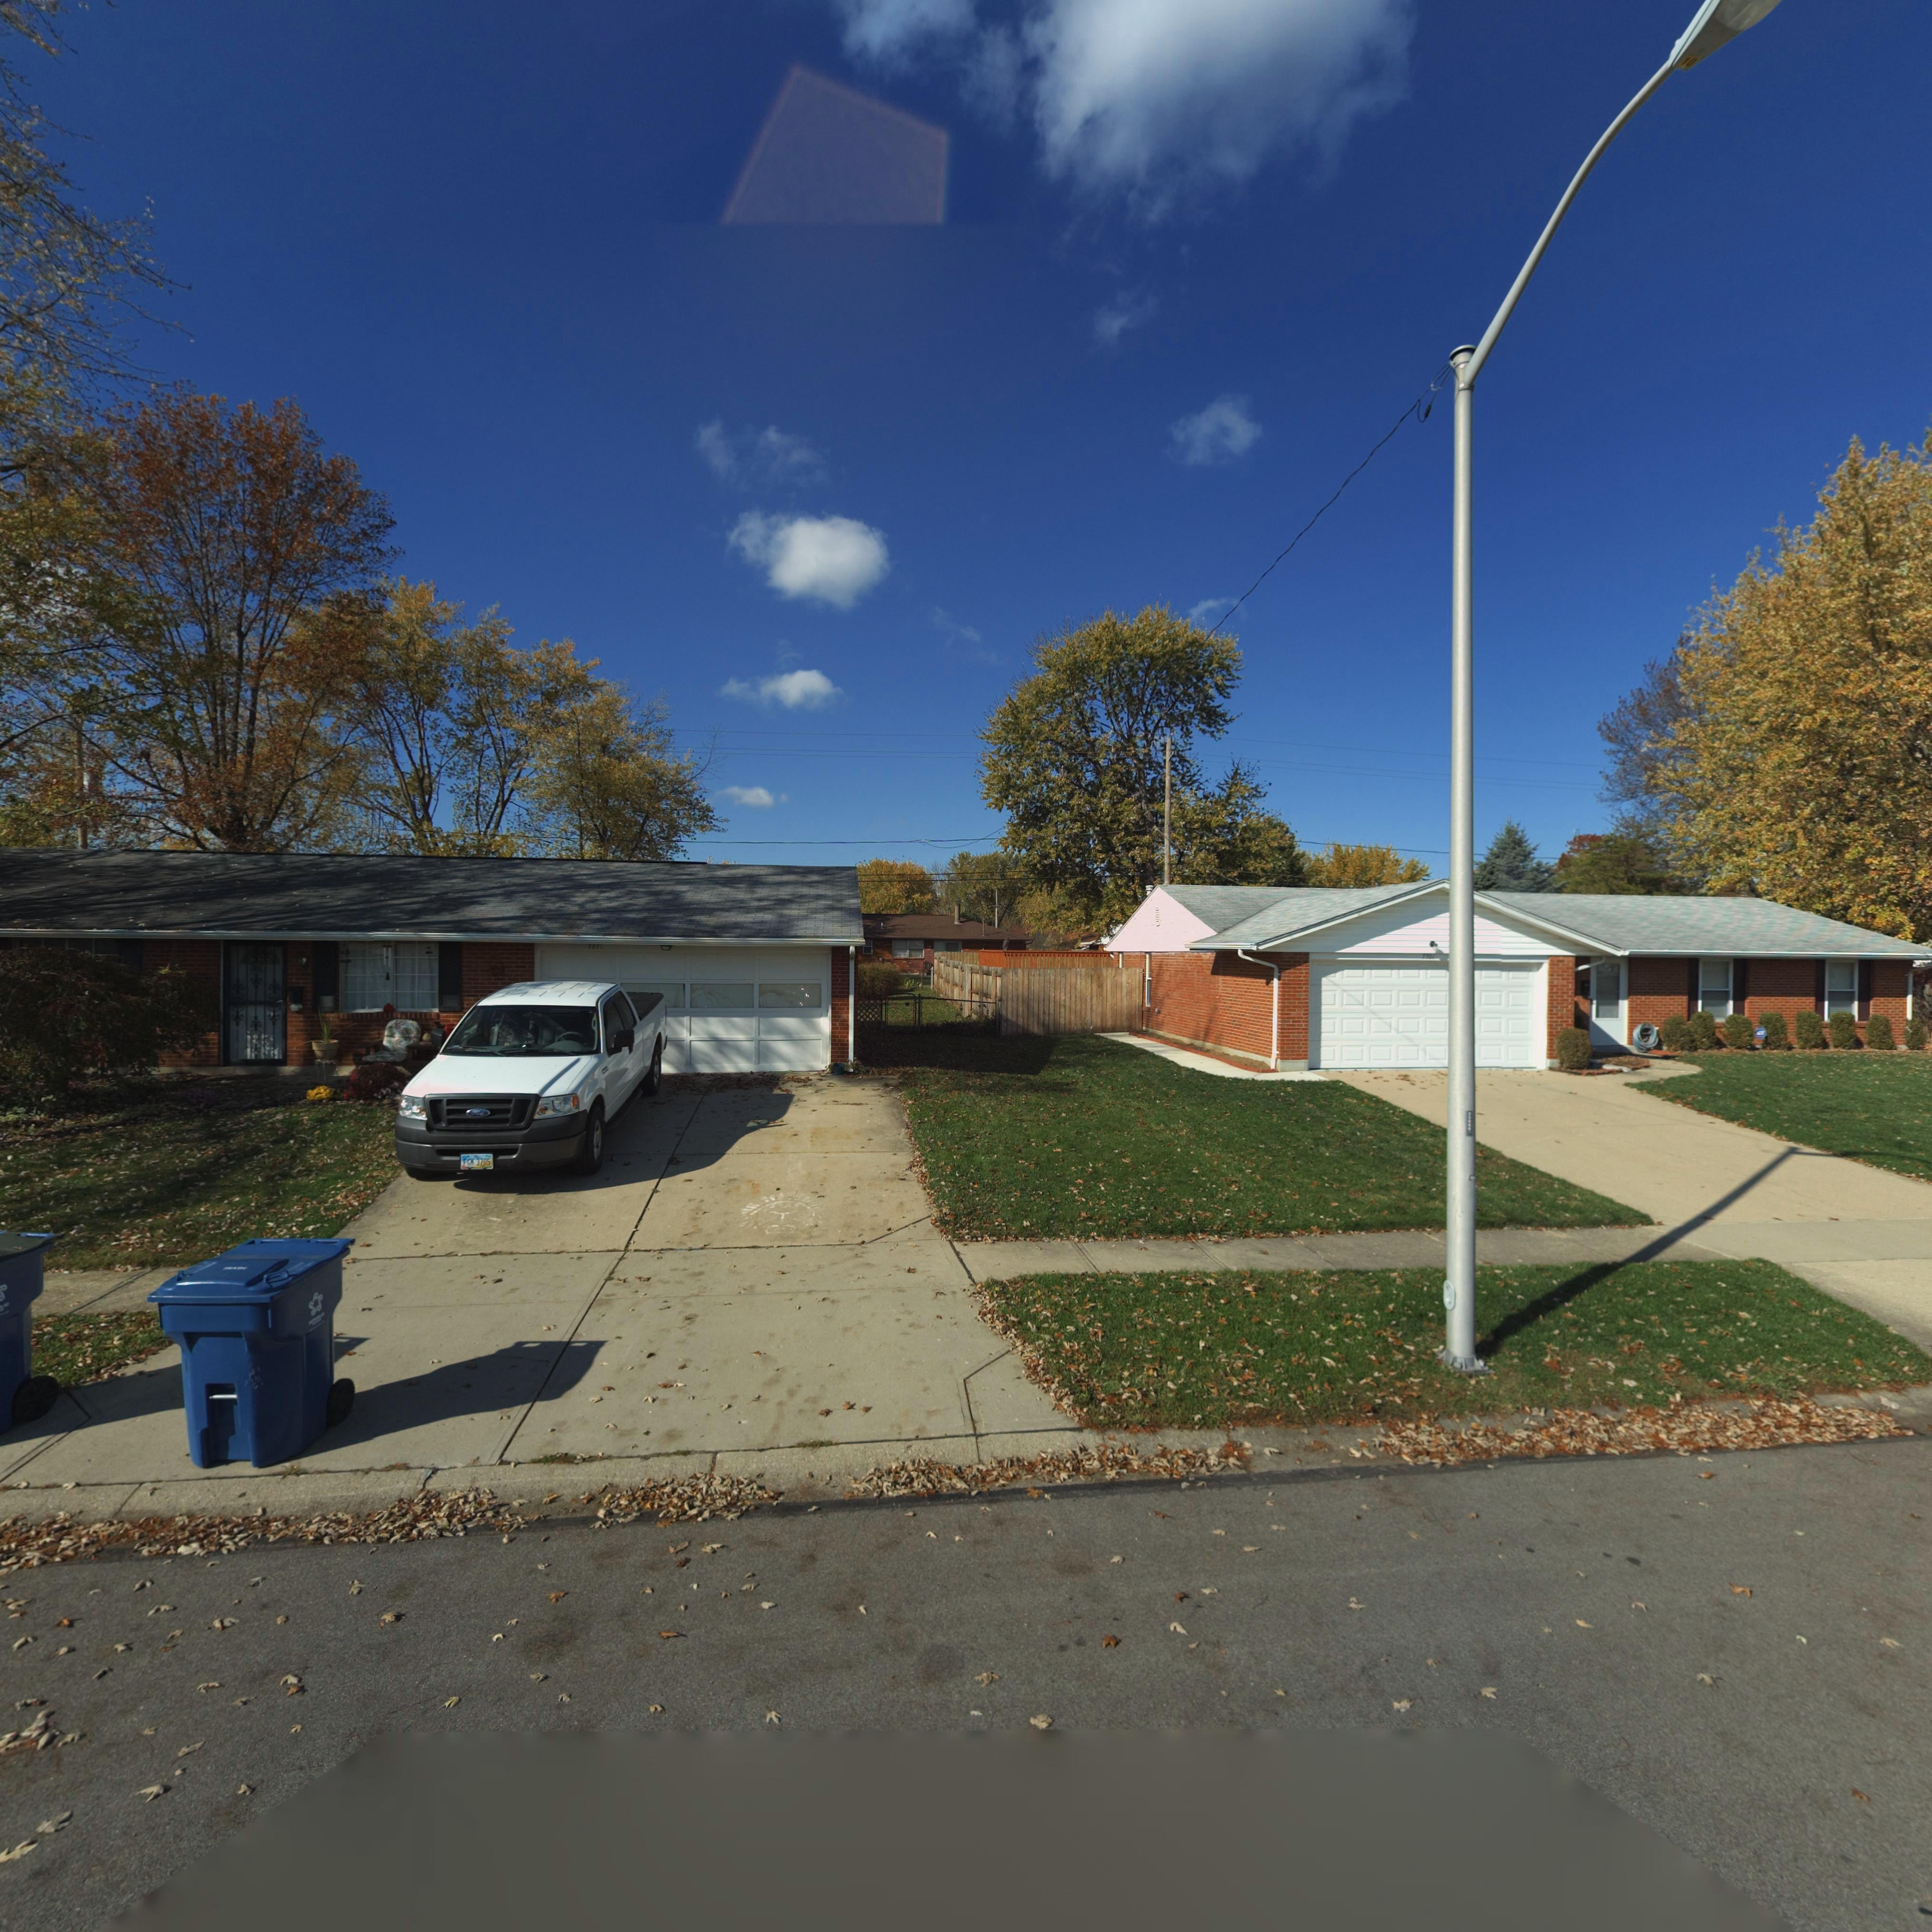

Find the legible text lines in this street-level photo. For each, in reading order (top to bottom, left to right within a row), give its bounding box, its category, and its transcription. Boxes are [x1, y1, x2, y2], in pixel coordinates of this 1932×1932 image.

[587, 944, 603, 950] StreetNumber: **7*
[1421, 953, 1436, 960] StreetNumber: **0*